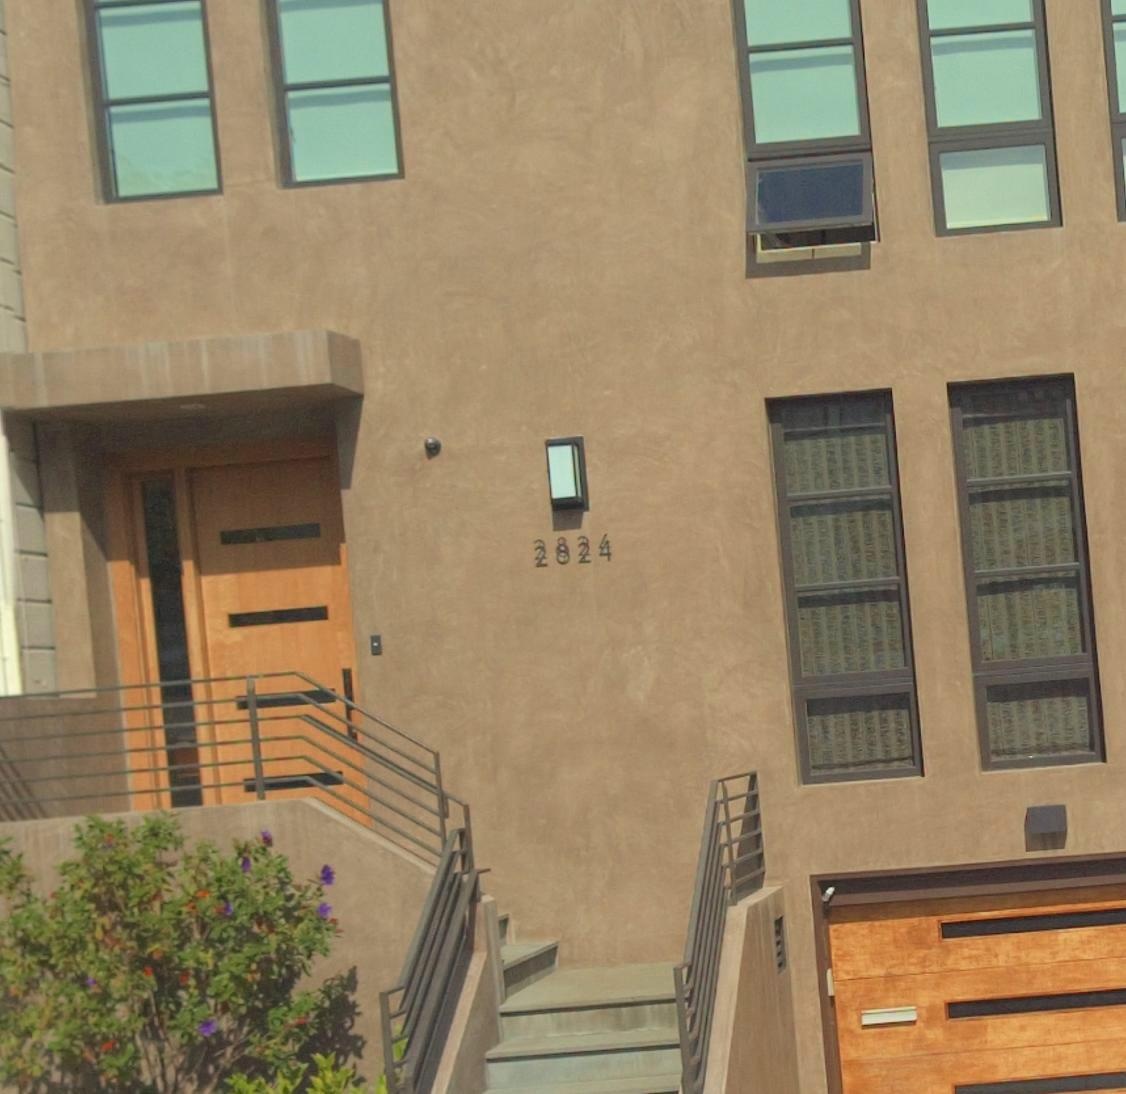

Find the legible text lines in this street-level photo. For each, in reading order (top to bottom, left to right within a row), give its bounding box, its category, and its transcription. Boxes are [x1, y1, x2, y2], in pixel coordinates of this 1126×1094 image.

[530, 530, 614, 562] StreetNumber: 2824